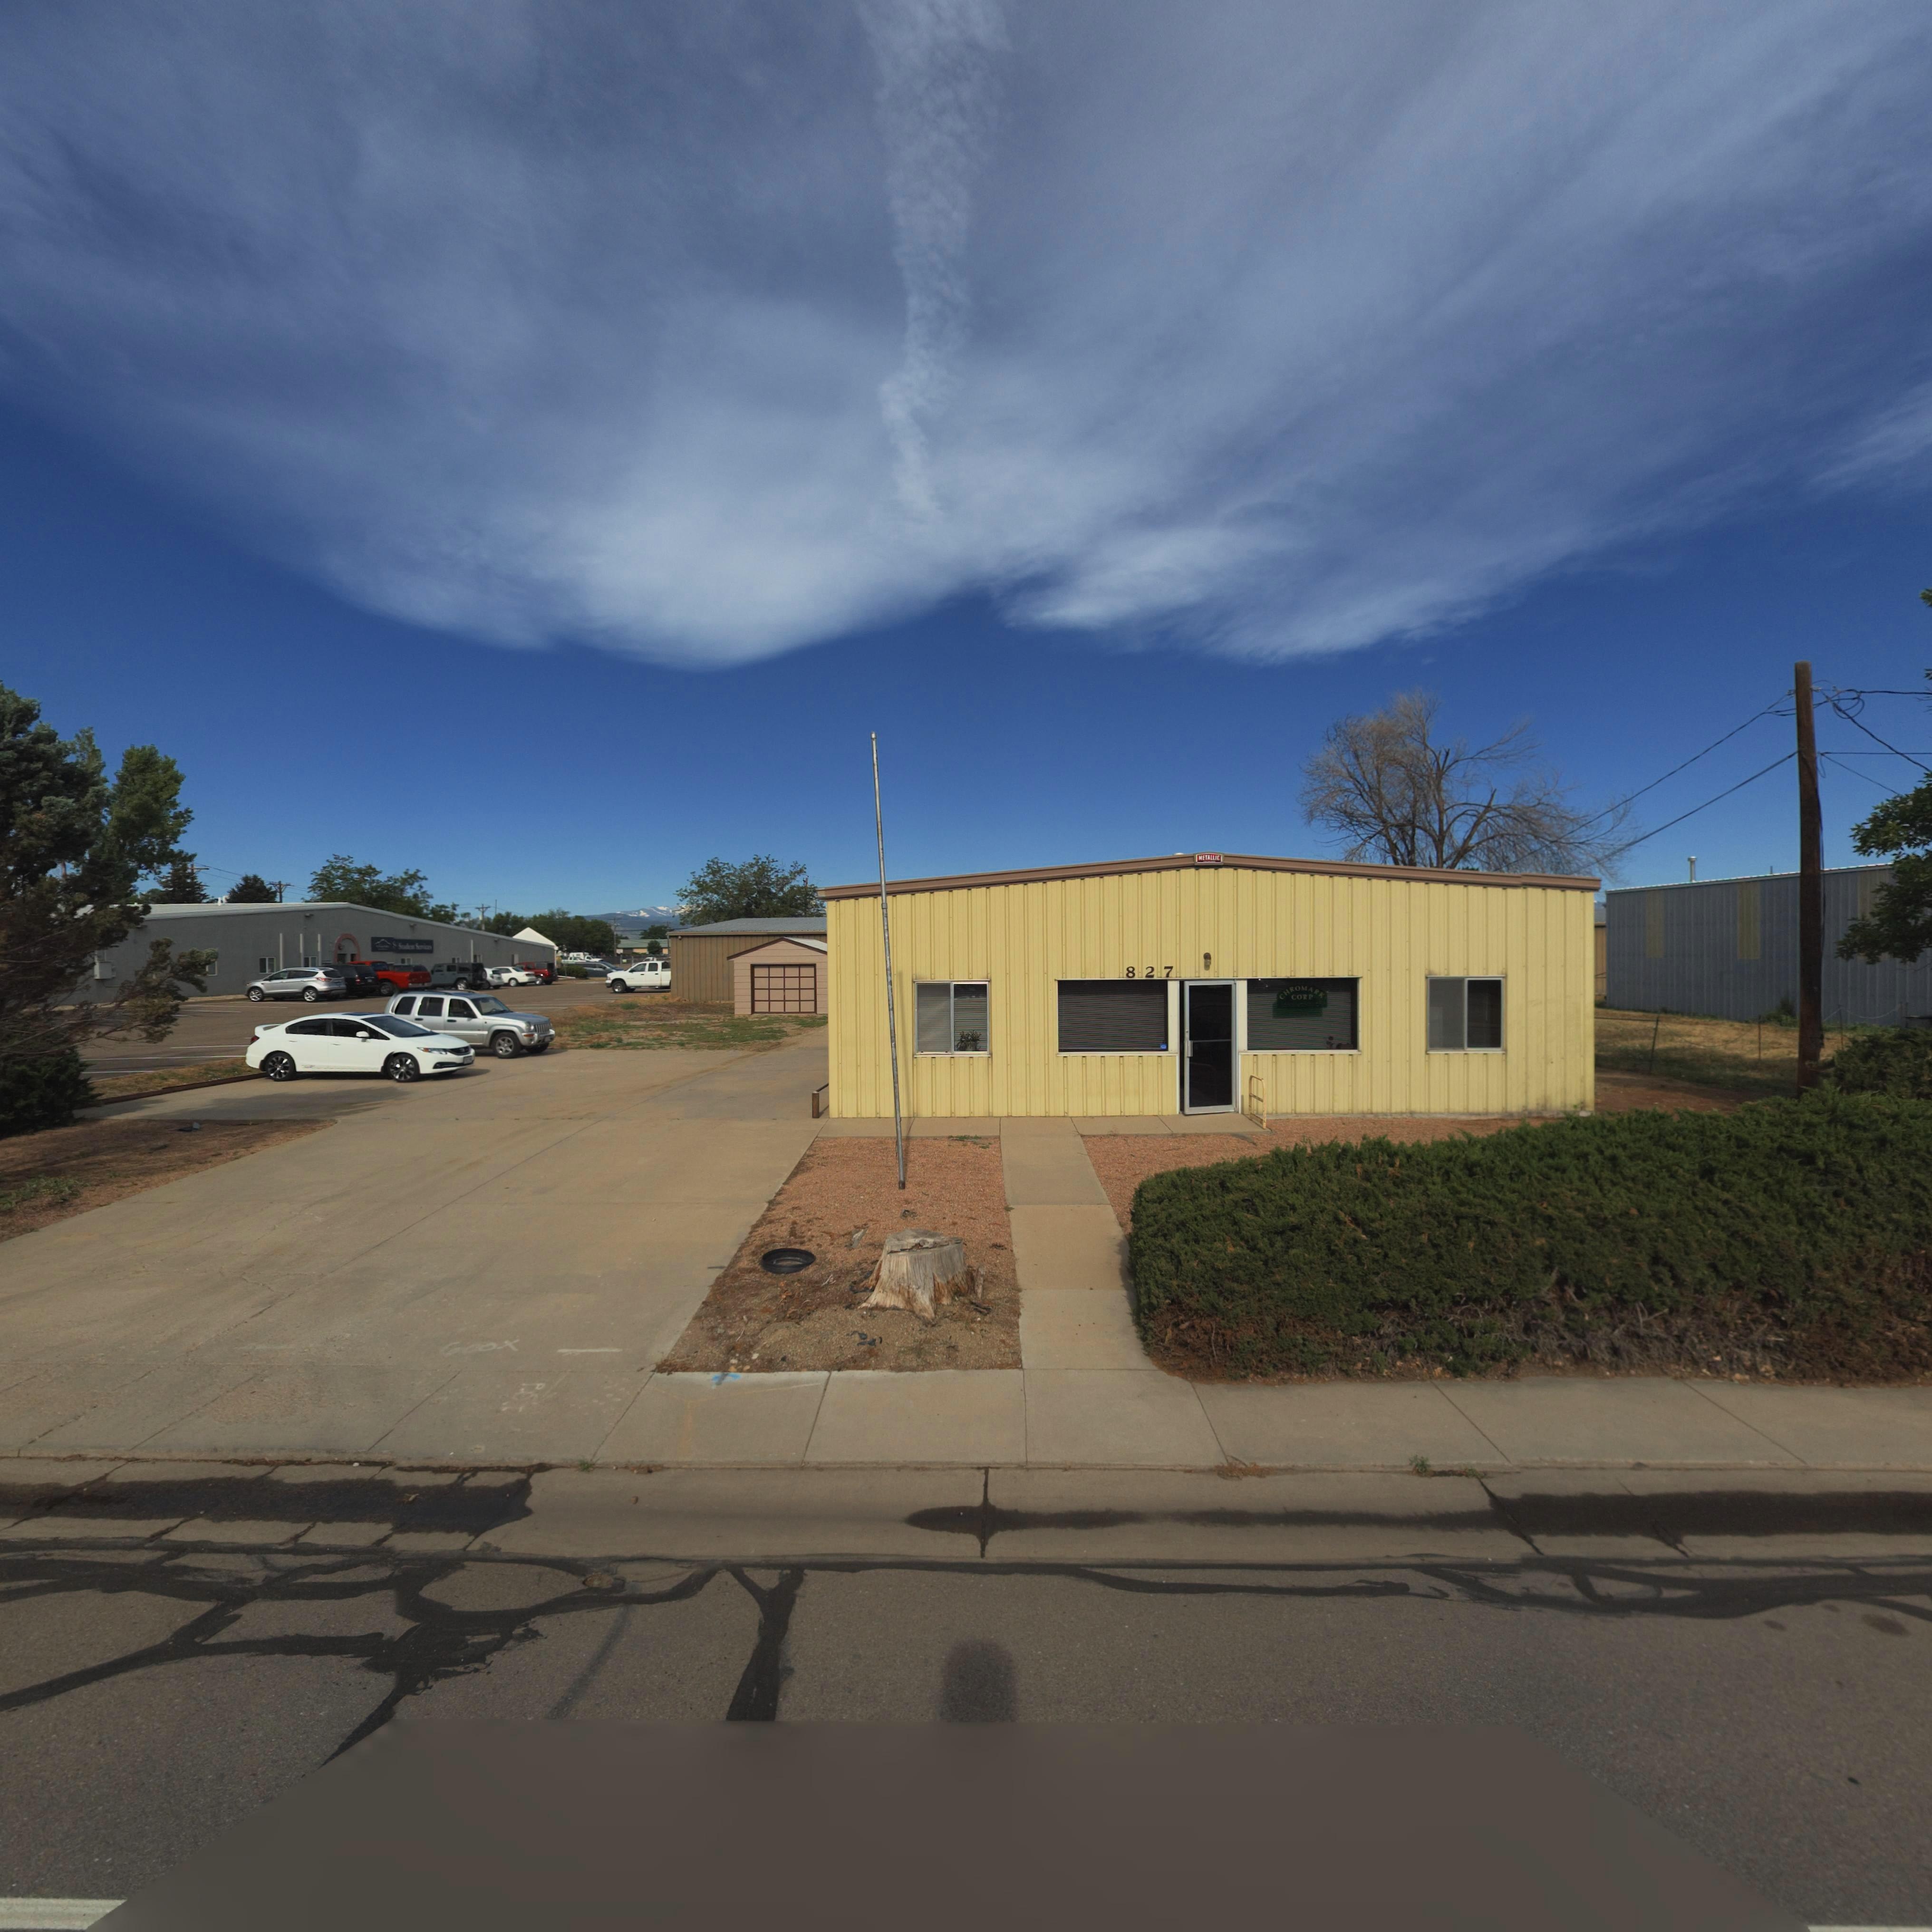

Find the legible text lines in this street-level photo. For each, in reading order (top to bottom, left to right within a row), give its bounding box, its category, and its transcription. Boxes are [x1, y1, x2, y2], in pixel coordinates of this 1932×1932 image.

[1124, 963, 1177, 979] StreetNumber: 827
[1276, 985, 1327, 1002] BusinessName: CHROMARK
[1290, 993, 1314, 1001] BusinessName: CORP